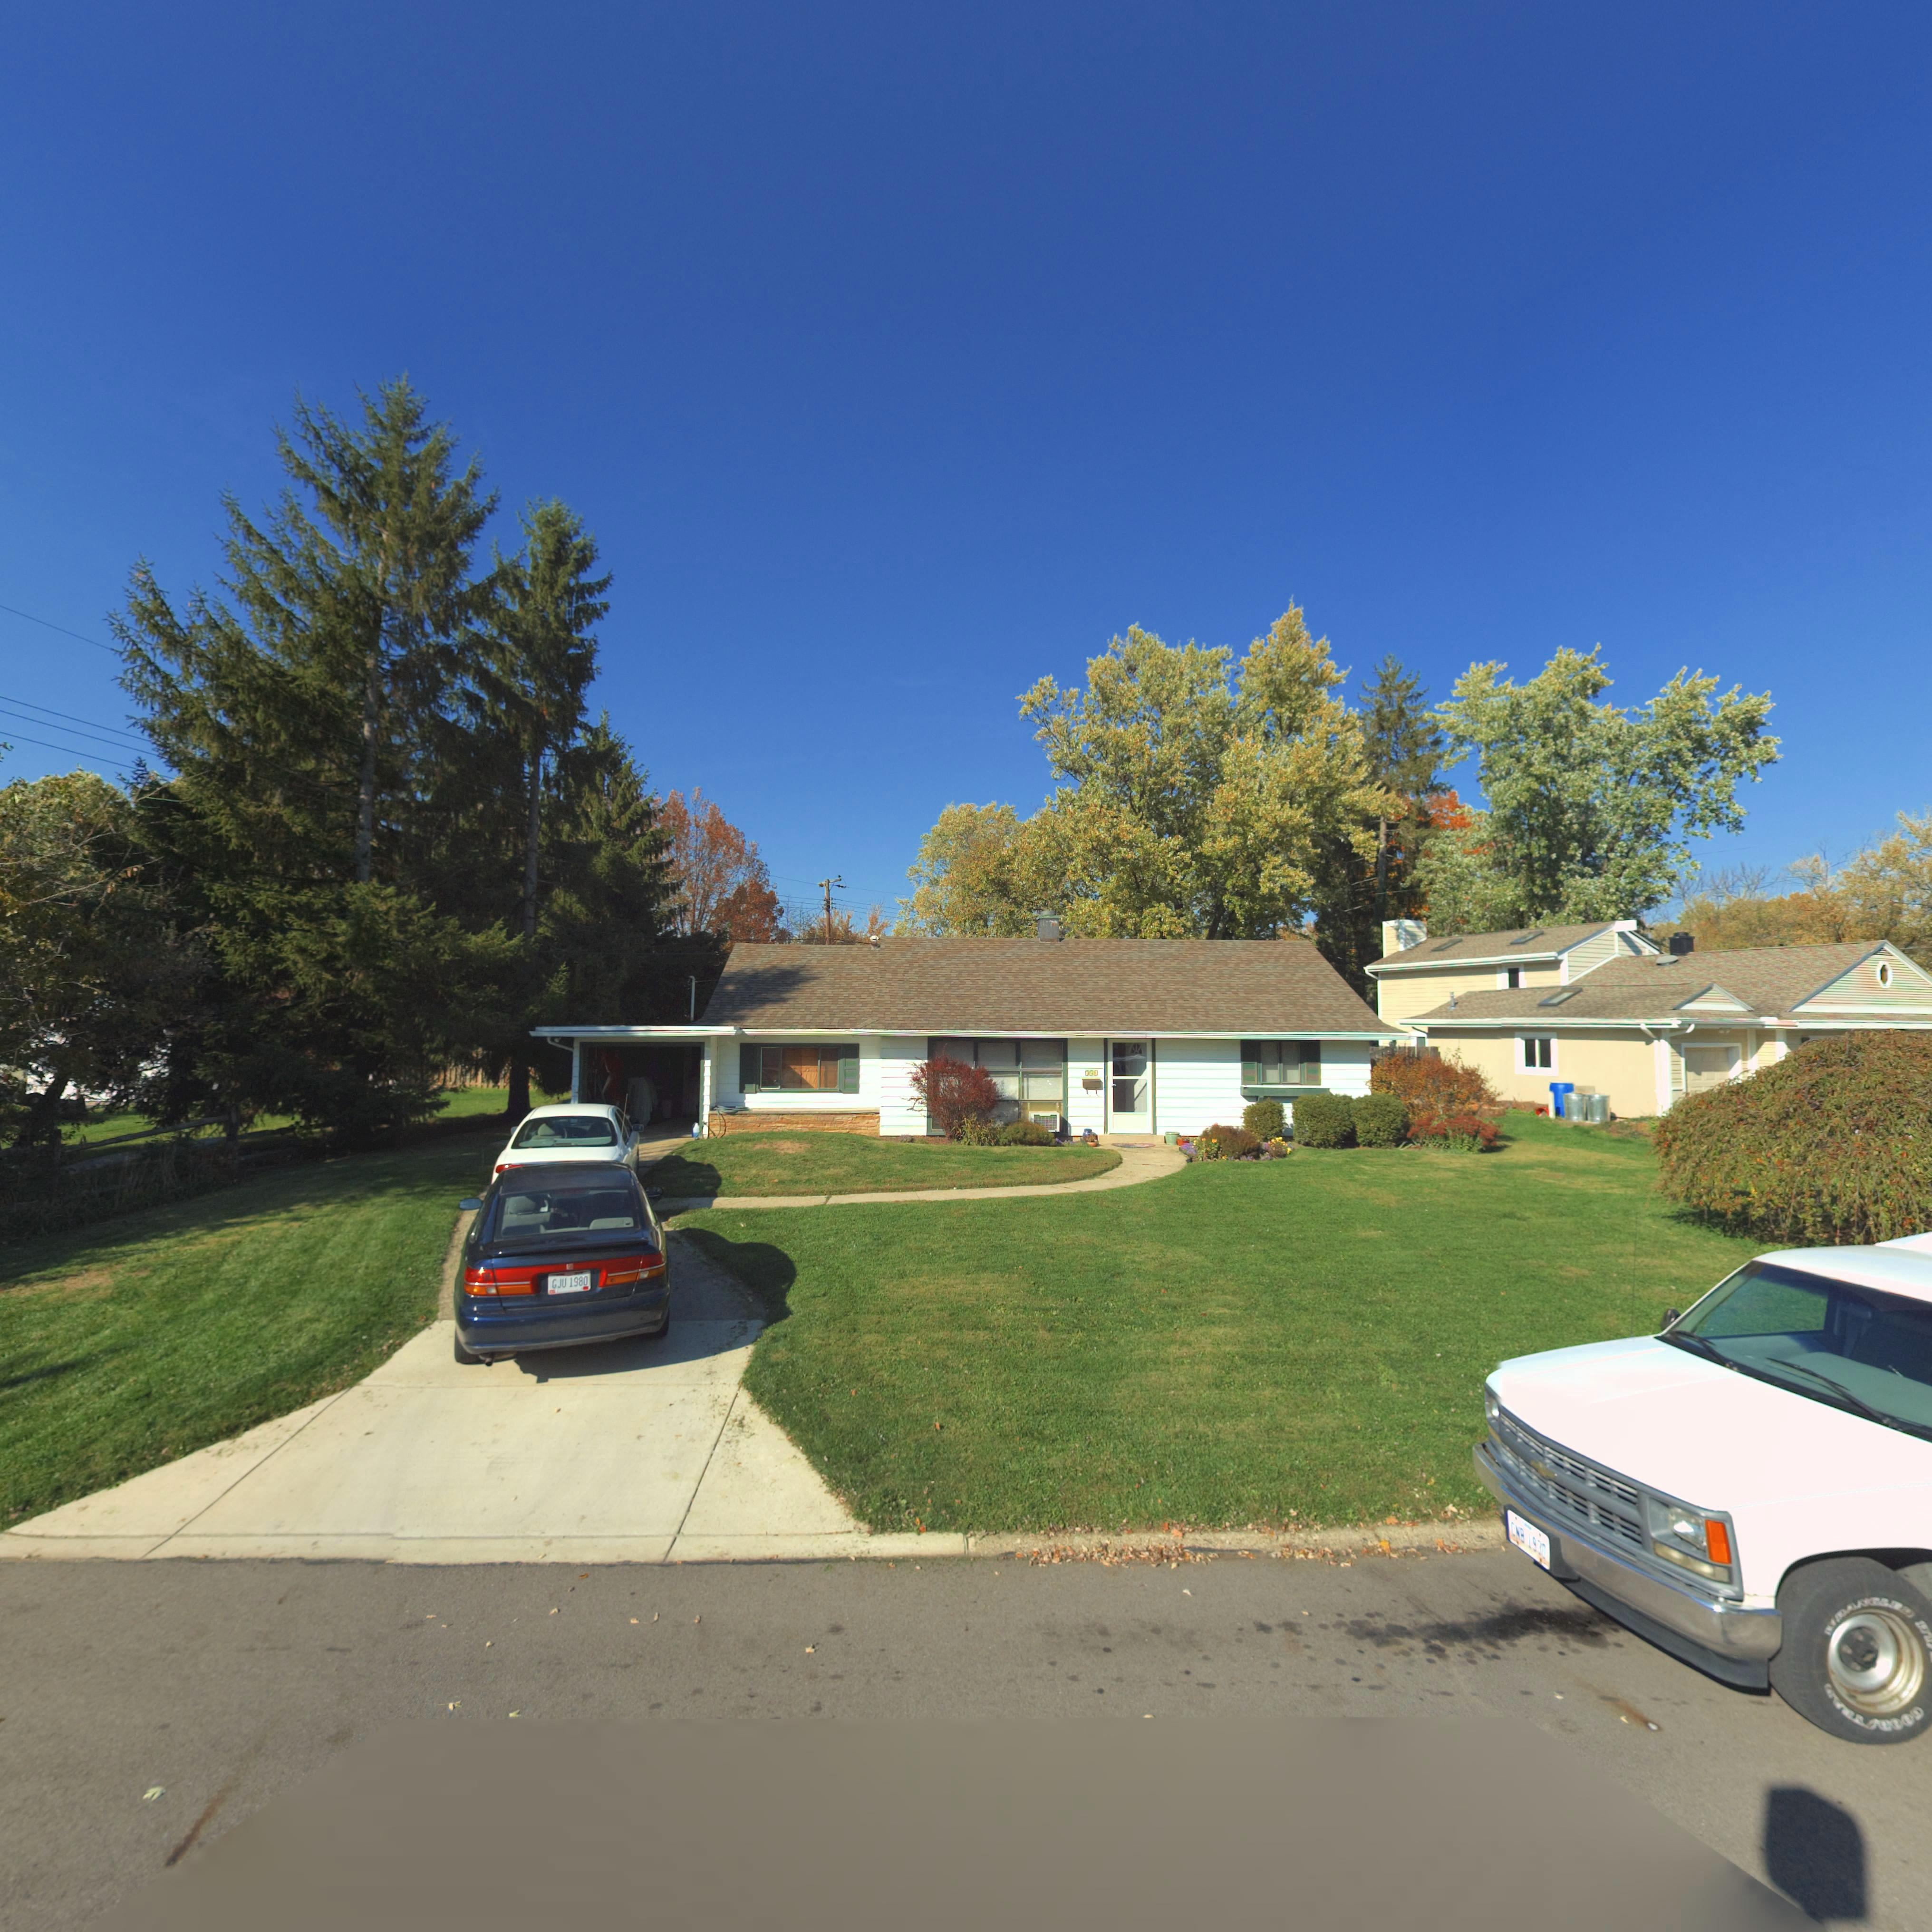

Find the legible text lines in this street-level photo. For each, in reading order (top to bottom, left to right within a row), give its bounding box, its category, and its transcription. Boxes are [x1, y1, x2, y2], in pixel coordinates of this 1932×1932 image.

[551, 1275, 588, 1289] None: GJU 1980